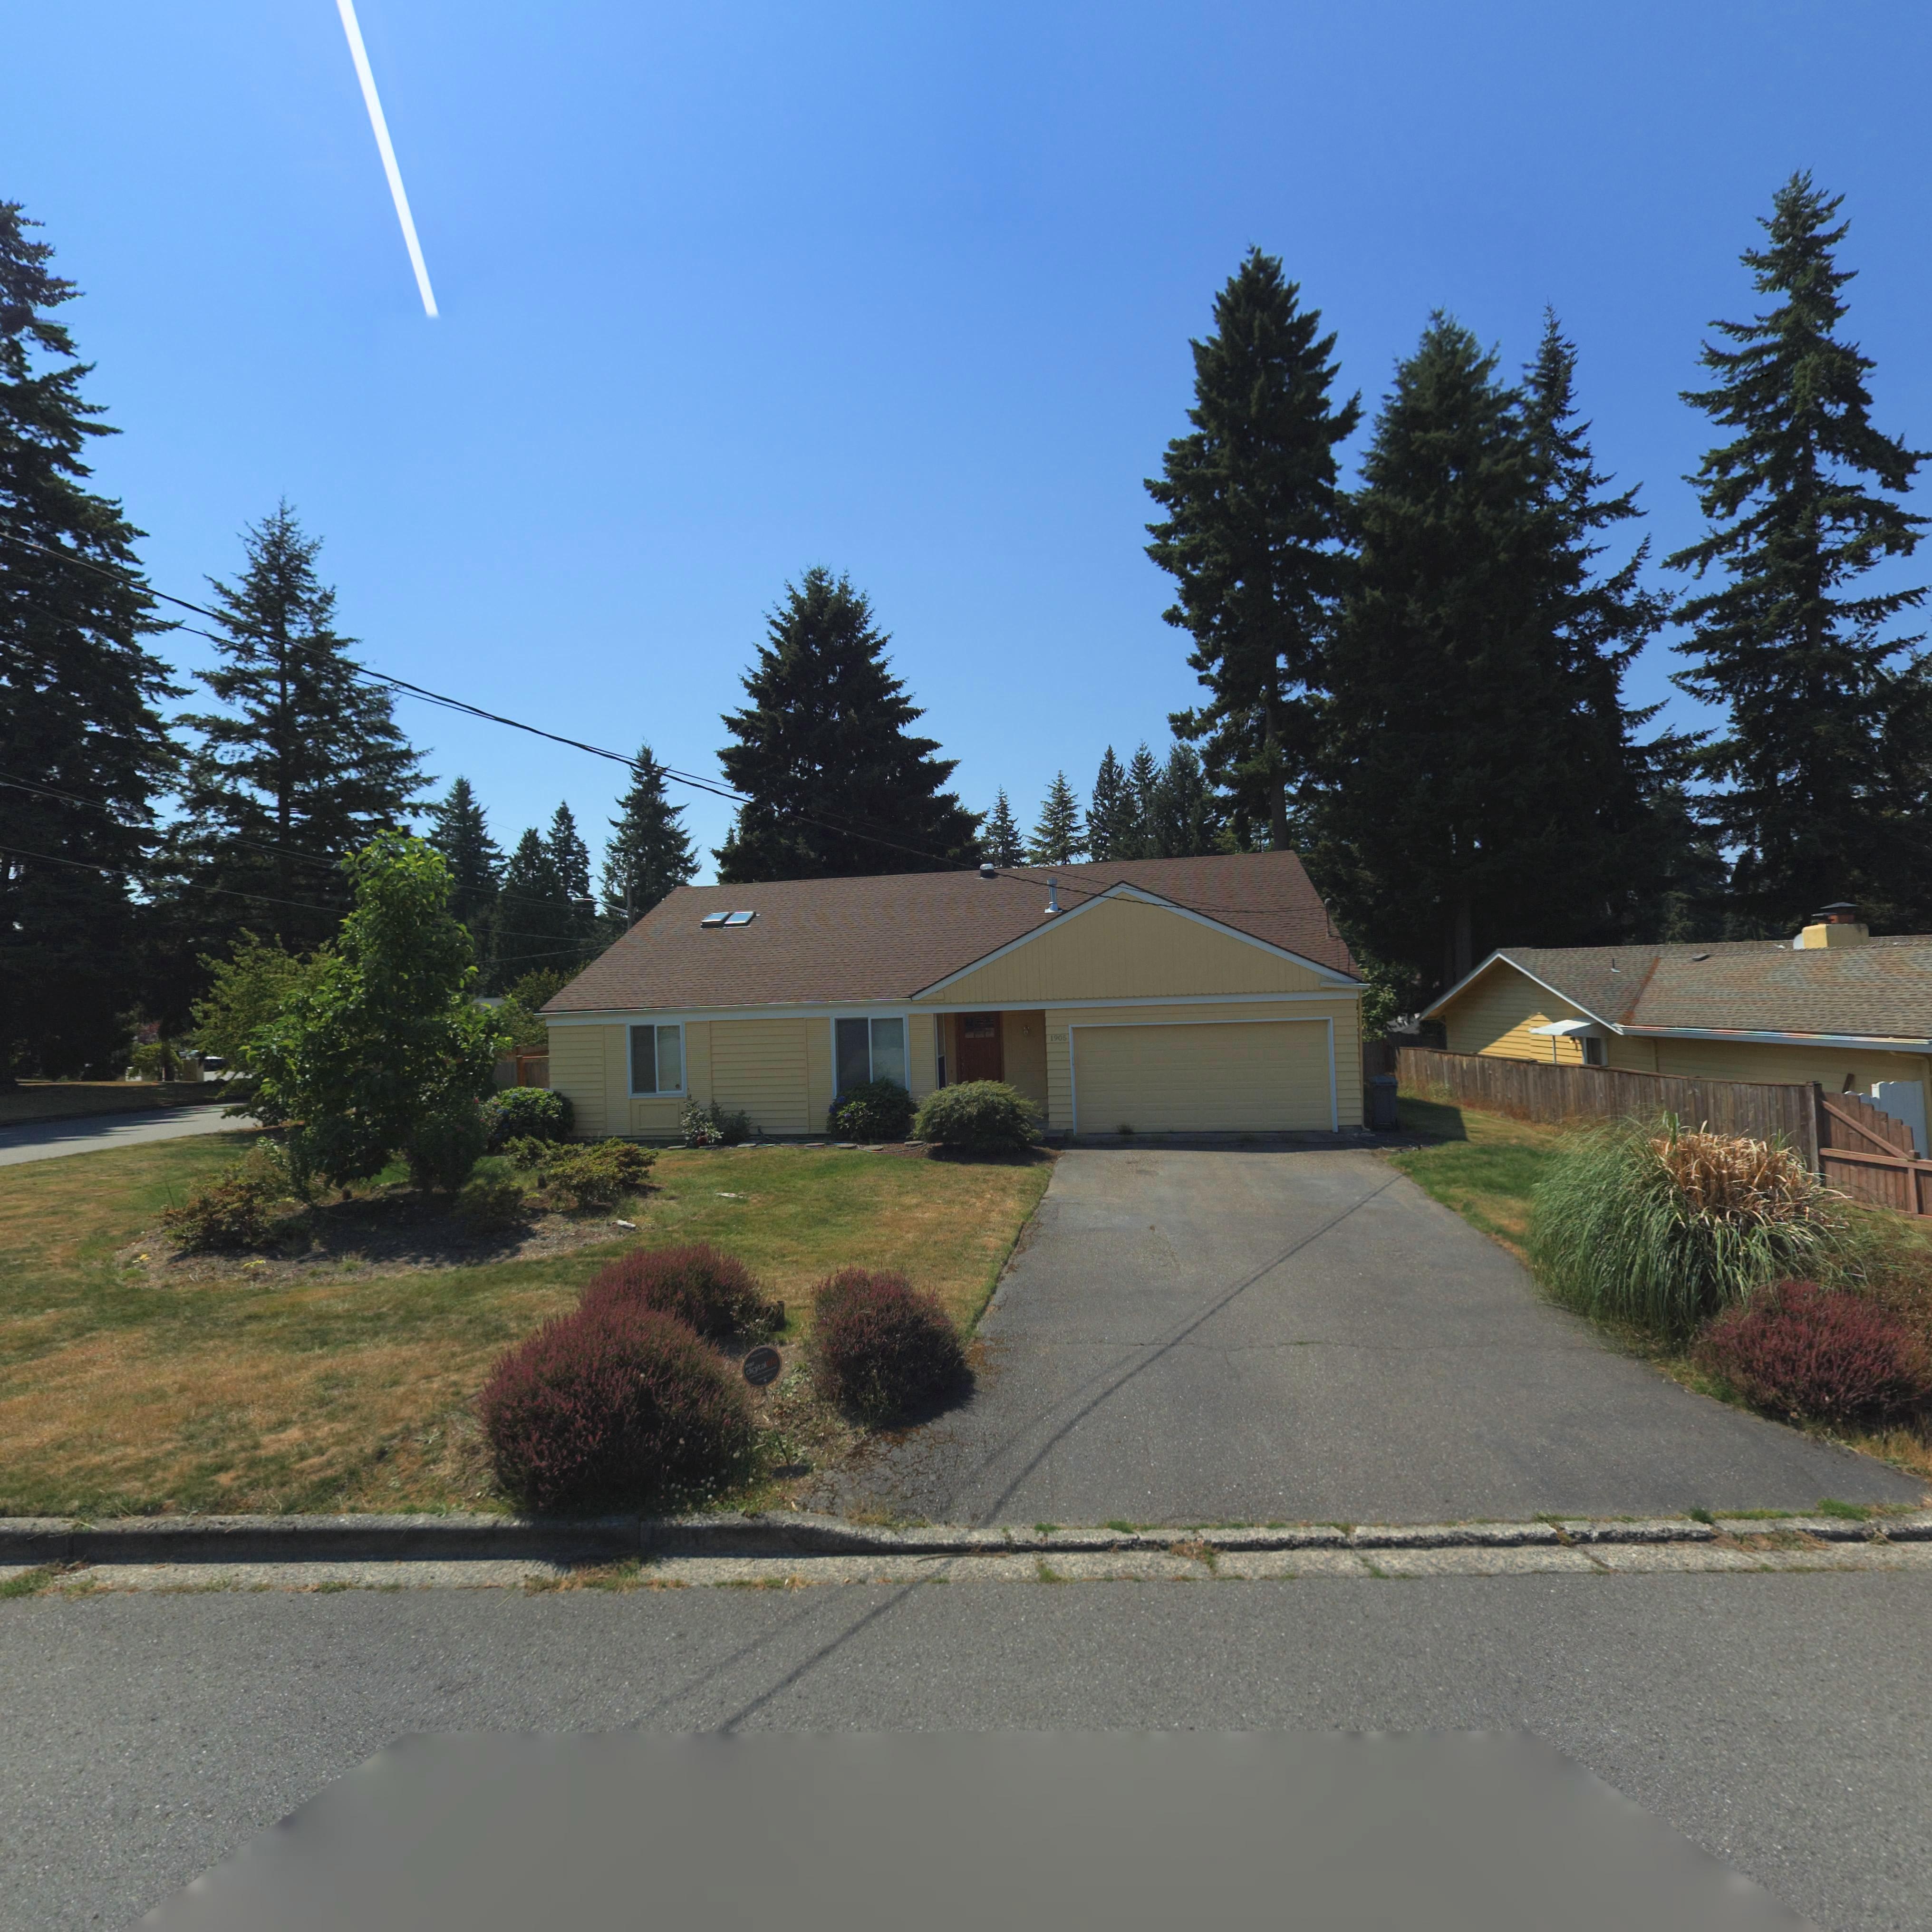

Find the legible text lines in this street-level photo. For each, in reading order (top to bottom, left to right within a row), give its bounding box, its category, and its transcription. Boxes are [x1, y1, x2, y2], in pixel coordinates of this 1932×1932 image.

[1050, 1034, 1066, 1041] StreetNumber: 1905